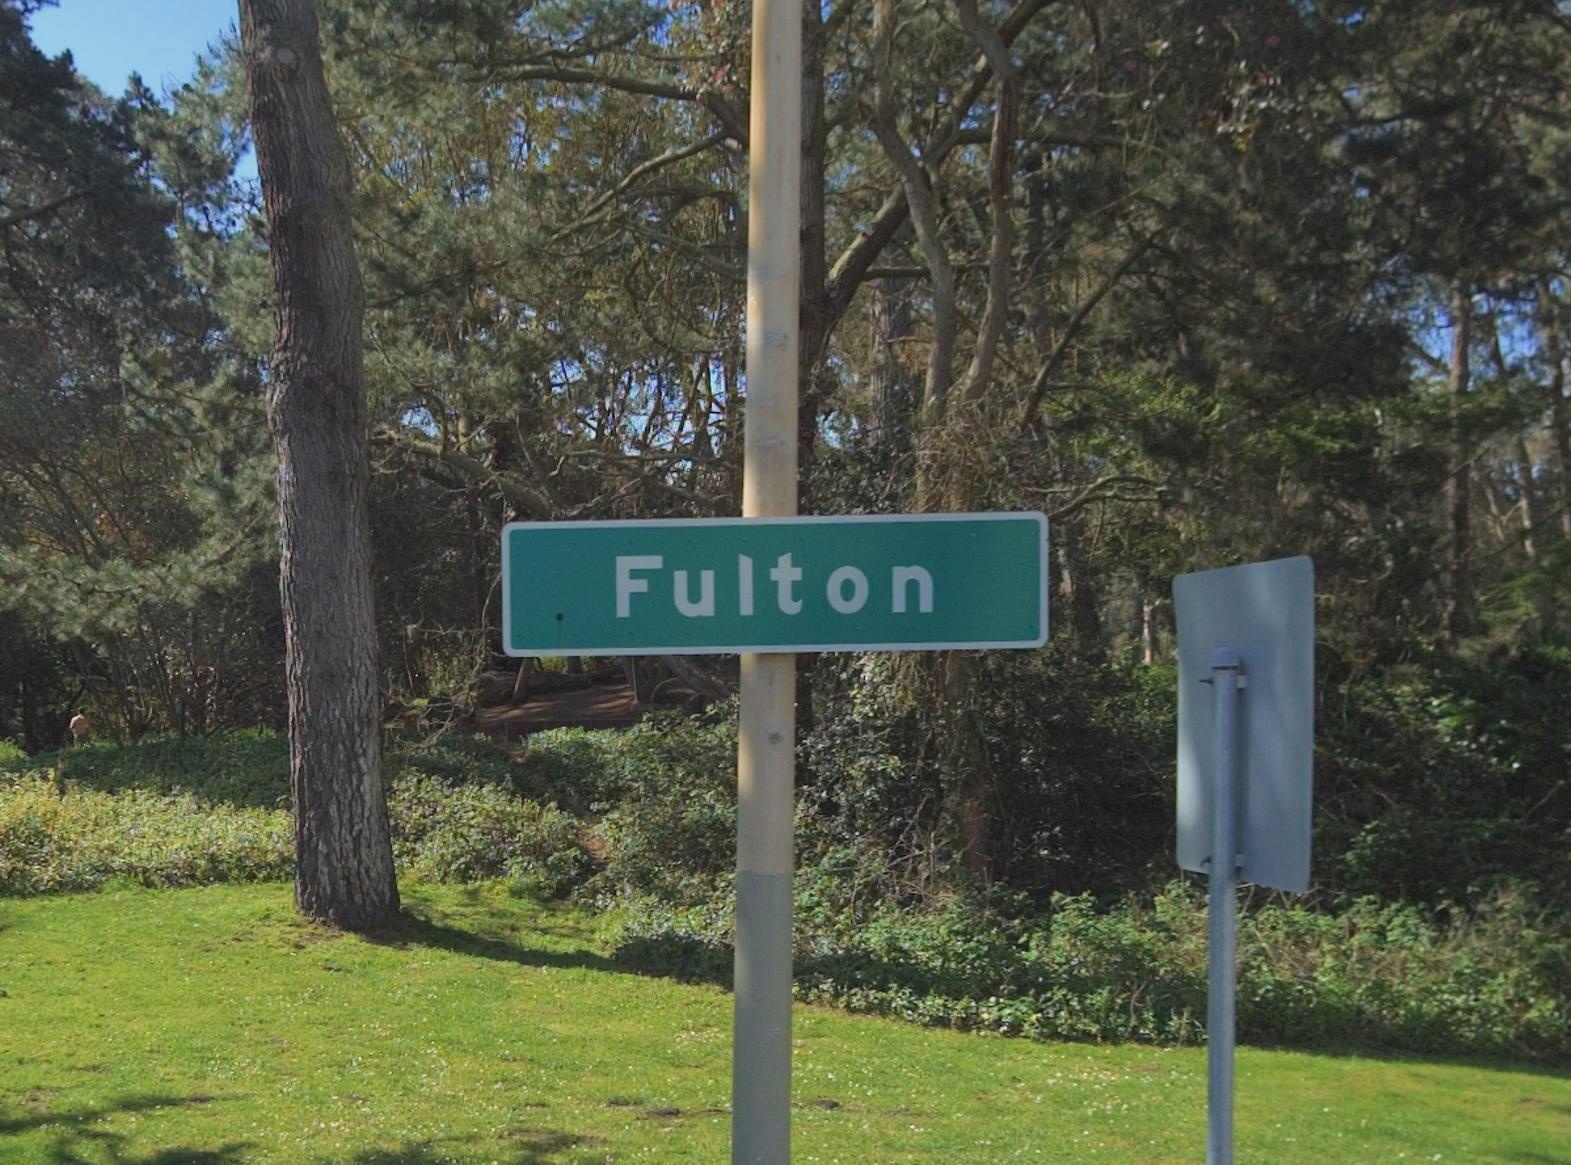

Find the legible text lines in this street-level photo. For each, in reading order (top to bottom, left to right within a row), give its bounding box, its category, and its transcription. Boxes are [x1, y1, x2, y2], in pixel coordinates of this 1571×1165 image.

[610, 547, 936, 620] StreetName: Fulton